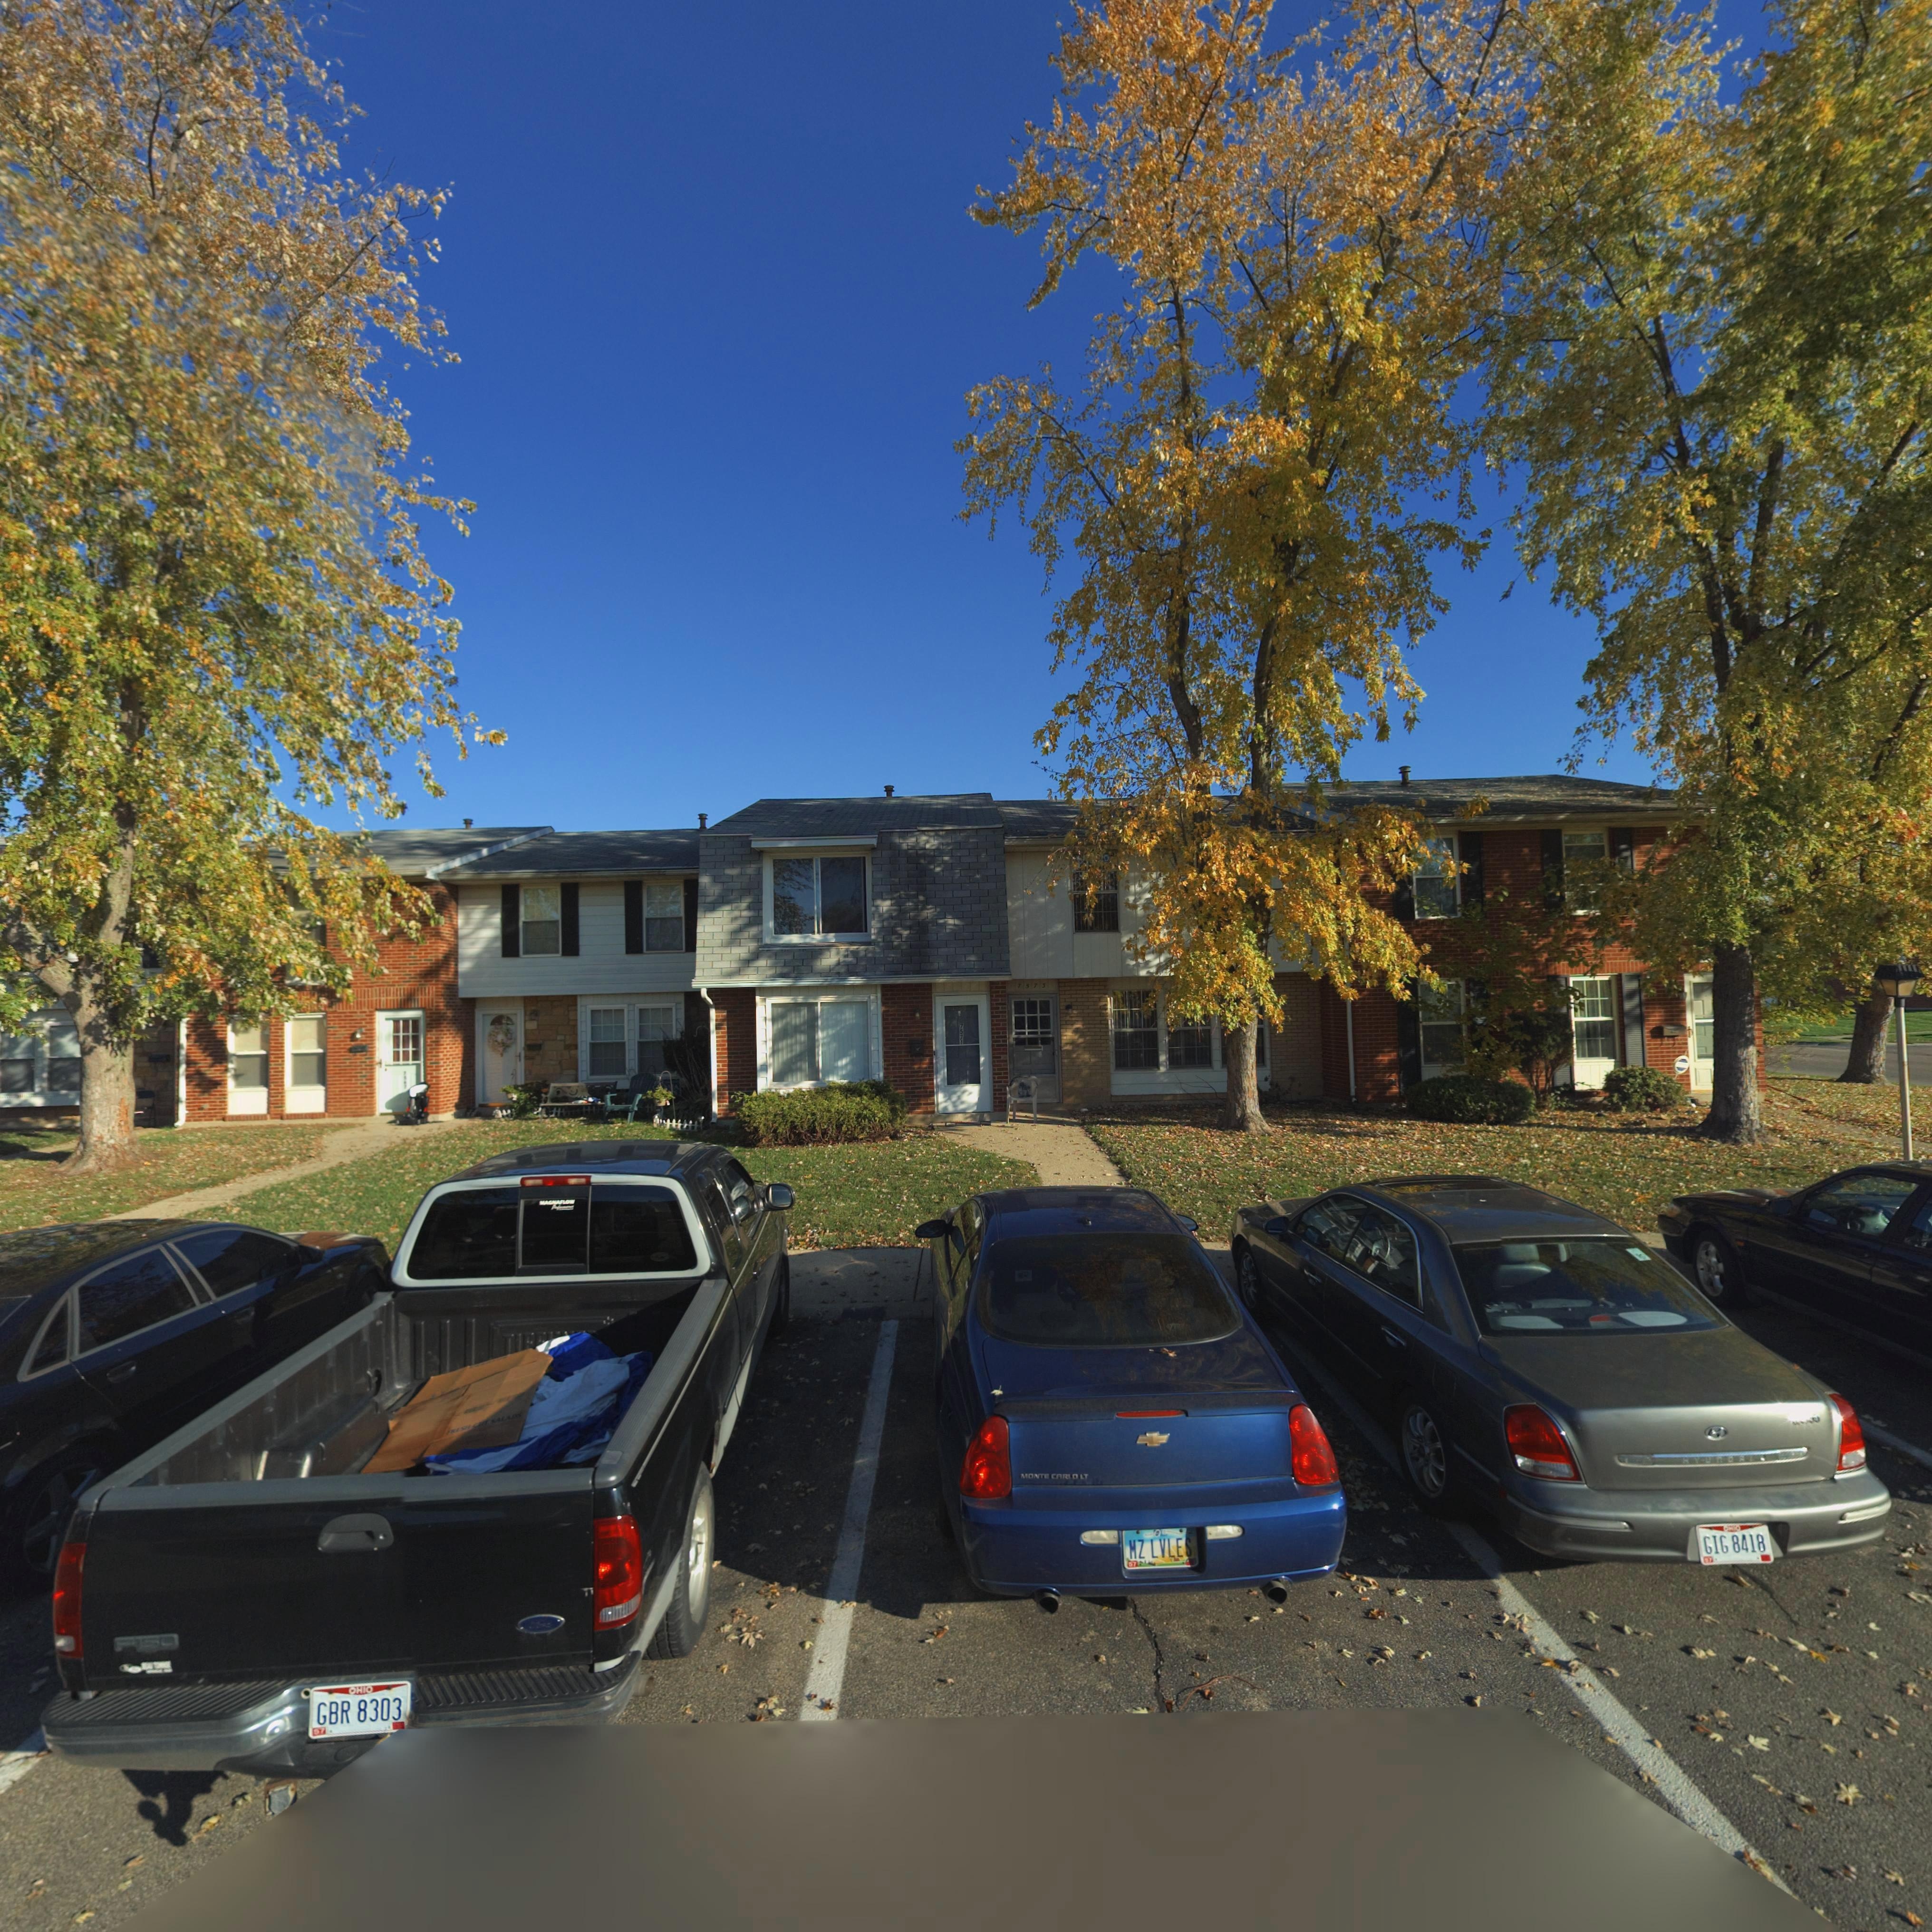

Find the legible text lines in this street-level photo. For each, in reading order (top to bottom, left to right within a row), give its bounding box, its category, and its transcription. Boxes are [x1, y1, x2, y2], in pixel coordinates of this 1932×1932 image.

[1017, 983, 1046, 989] StreetNumber: 7573
[959, 1023, 964, 1044] StreetNumber: 7571